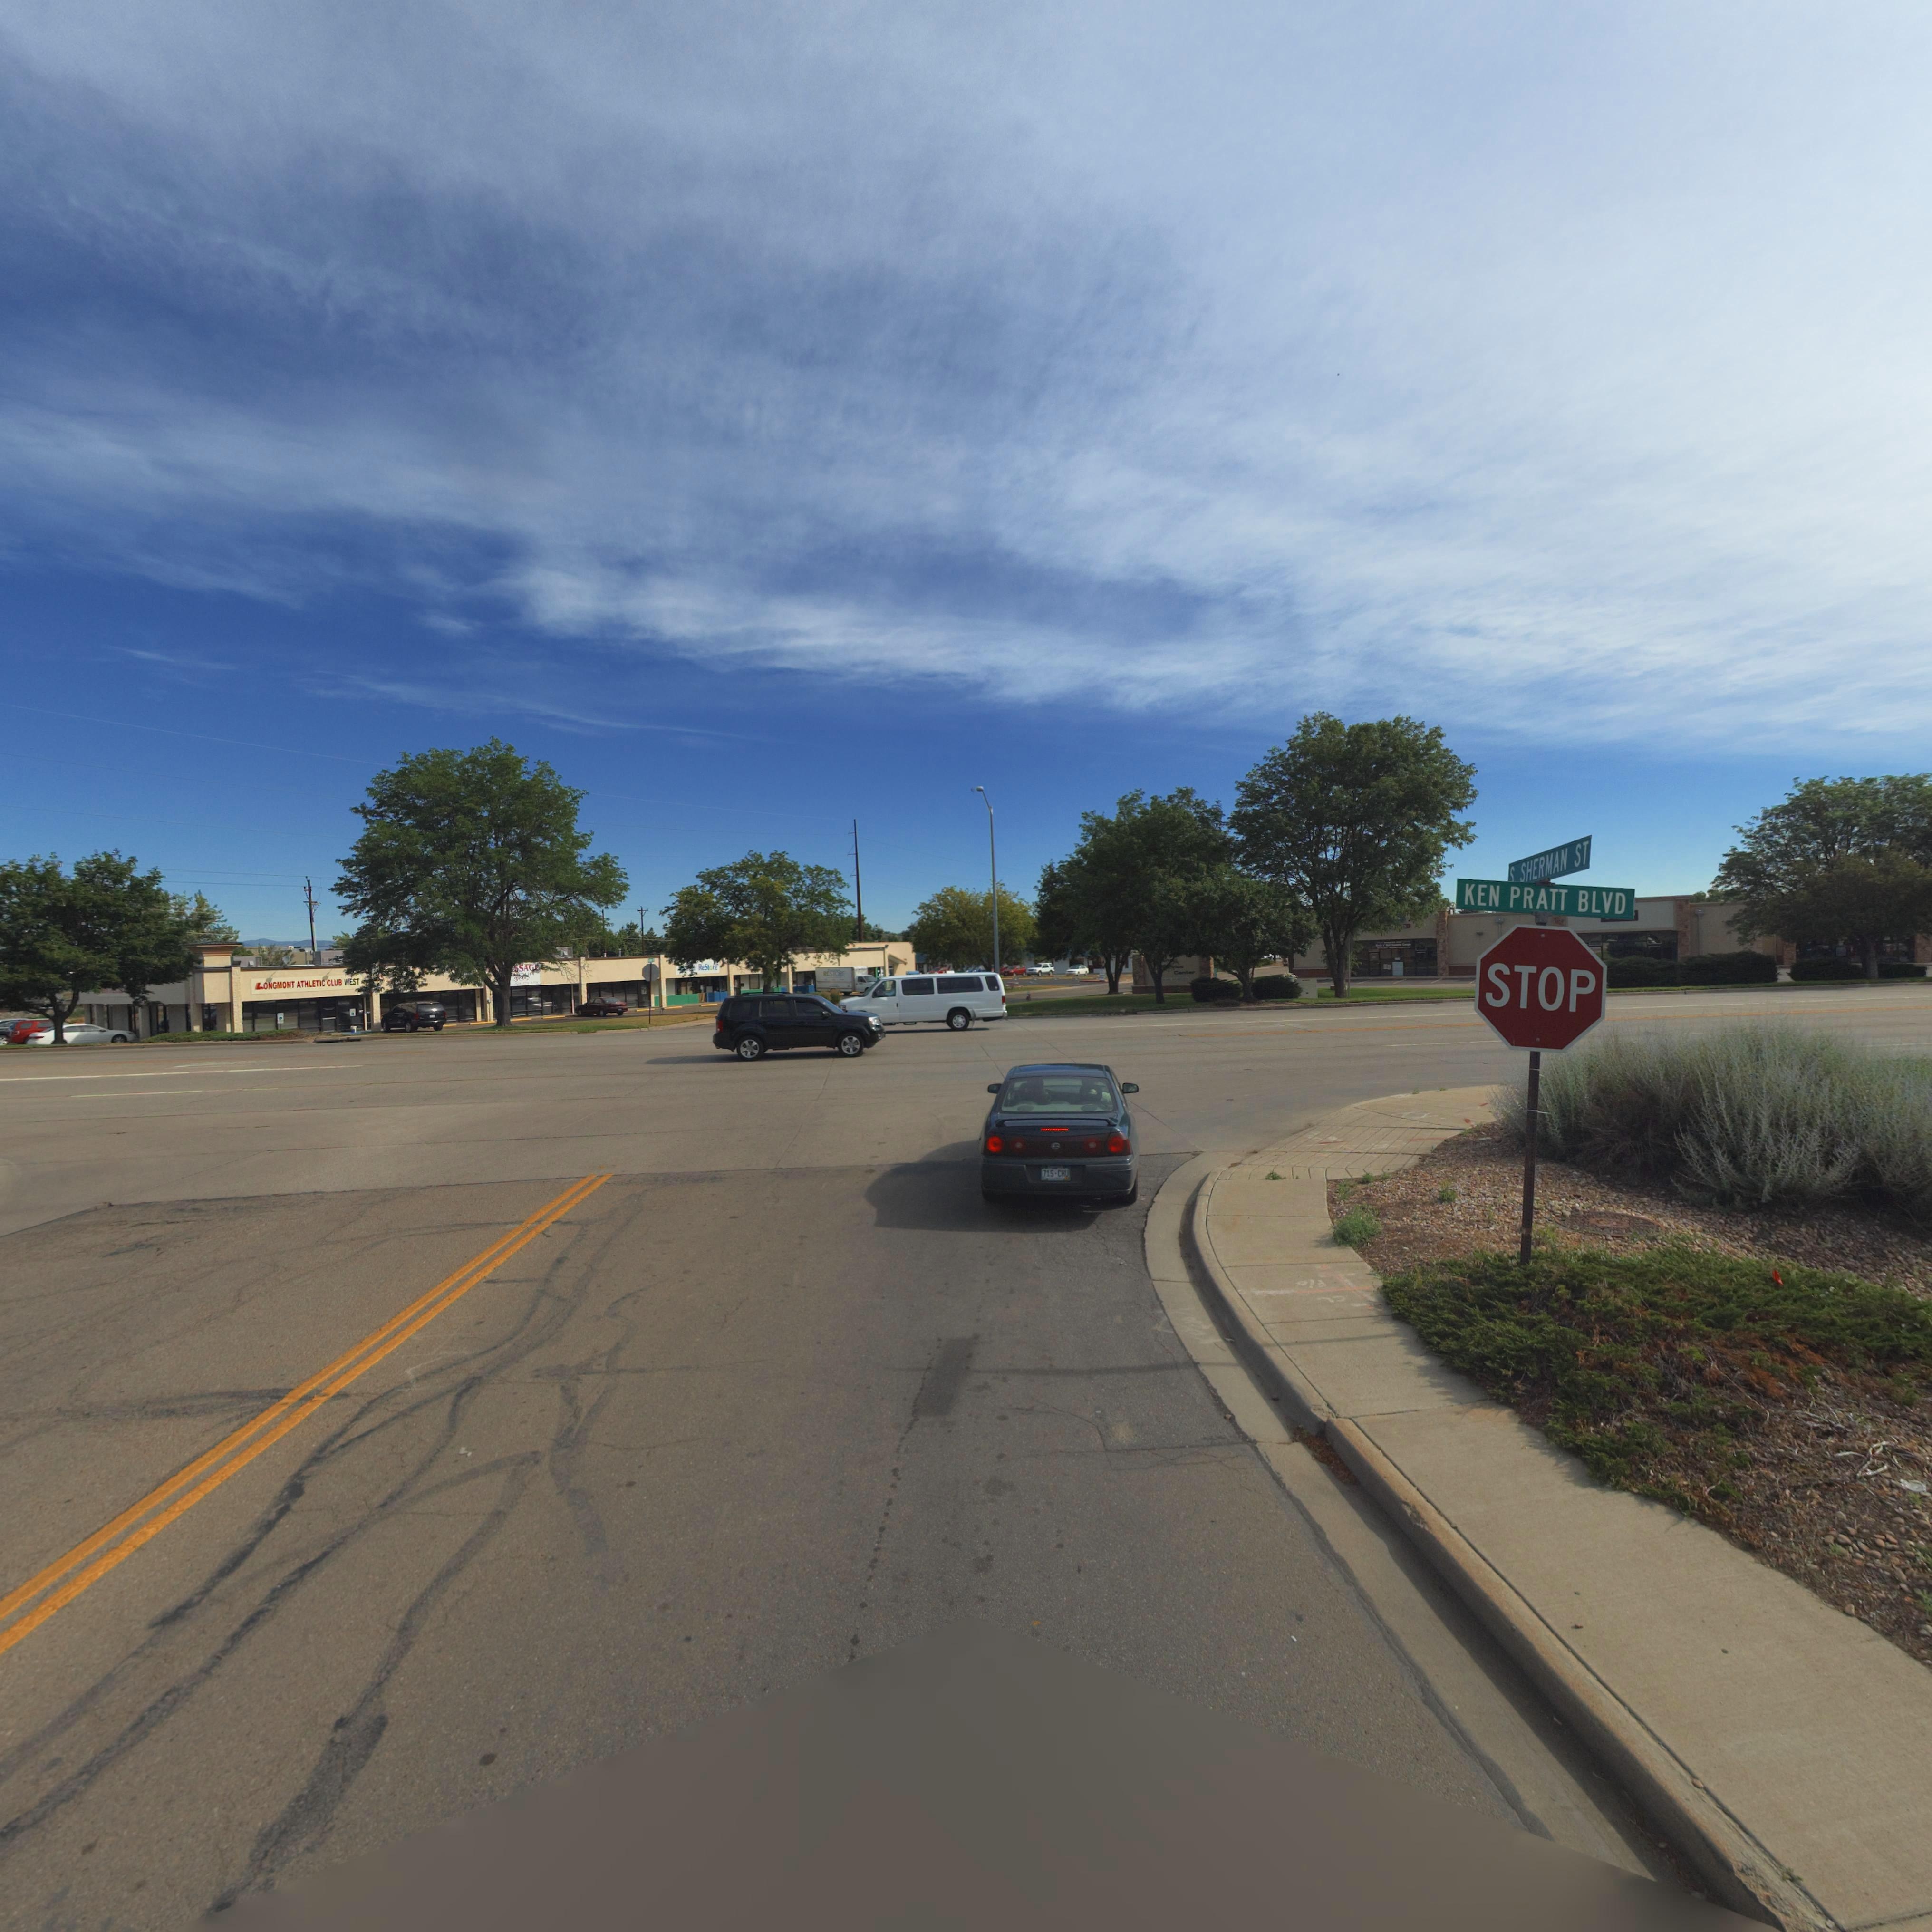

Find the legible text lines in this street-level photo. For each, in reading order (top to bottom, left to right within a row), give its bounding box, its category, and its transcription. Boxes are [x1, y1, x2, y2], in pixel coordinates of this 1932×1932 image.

[1510, 841, 1588, 883] StreetName: S SHERMAN ST
[1464, 882, 1626, 915] StreetName: KEN PRATT BLVD
[513, 964, 538, 971] BusinessName: SSAG*
[698, 963, 717, 971] BusinessName: ReStore
[254, 977, 359, 990] BusinessName: LONGMONT ATHLETIC CLUB WEST